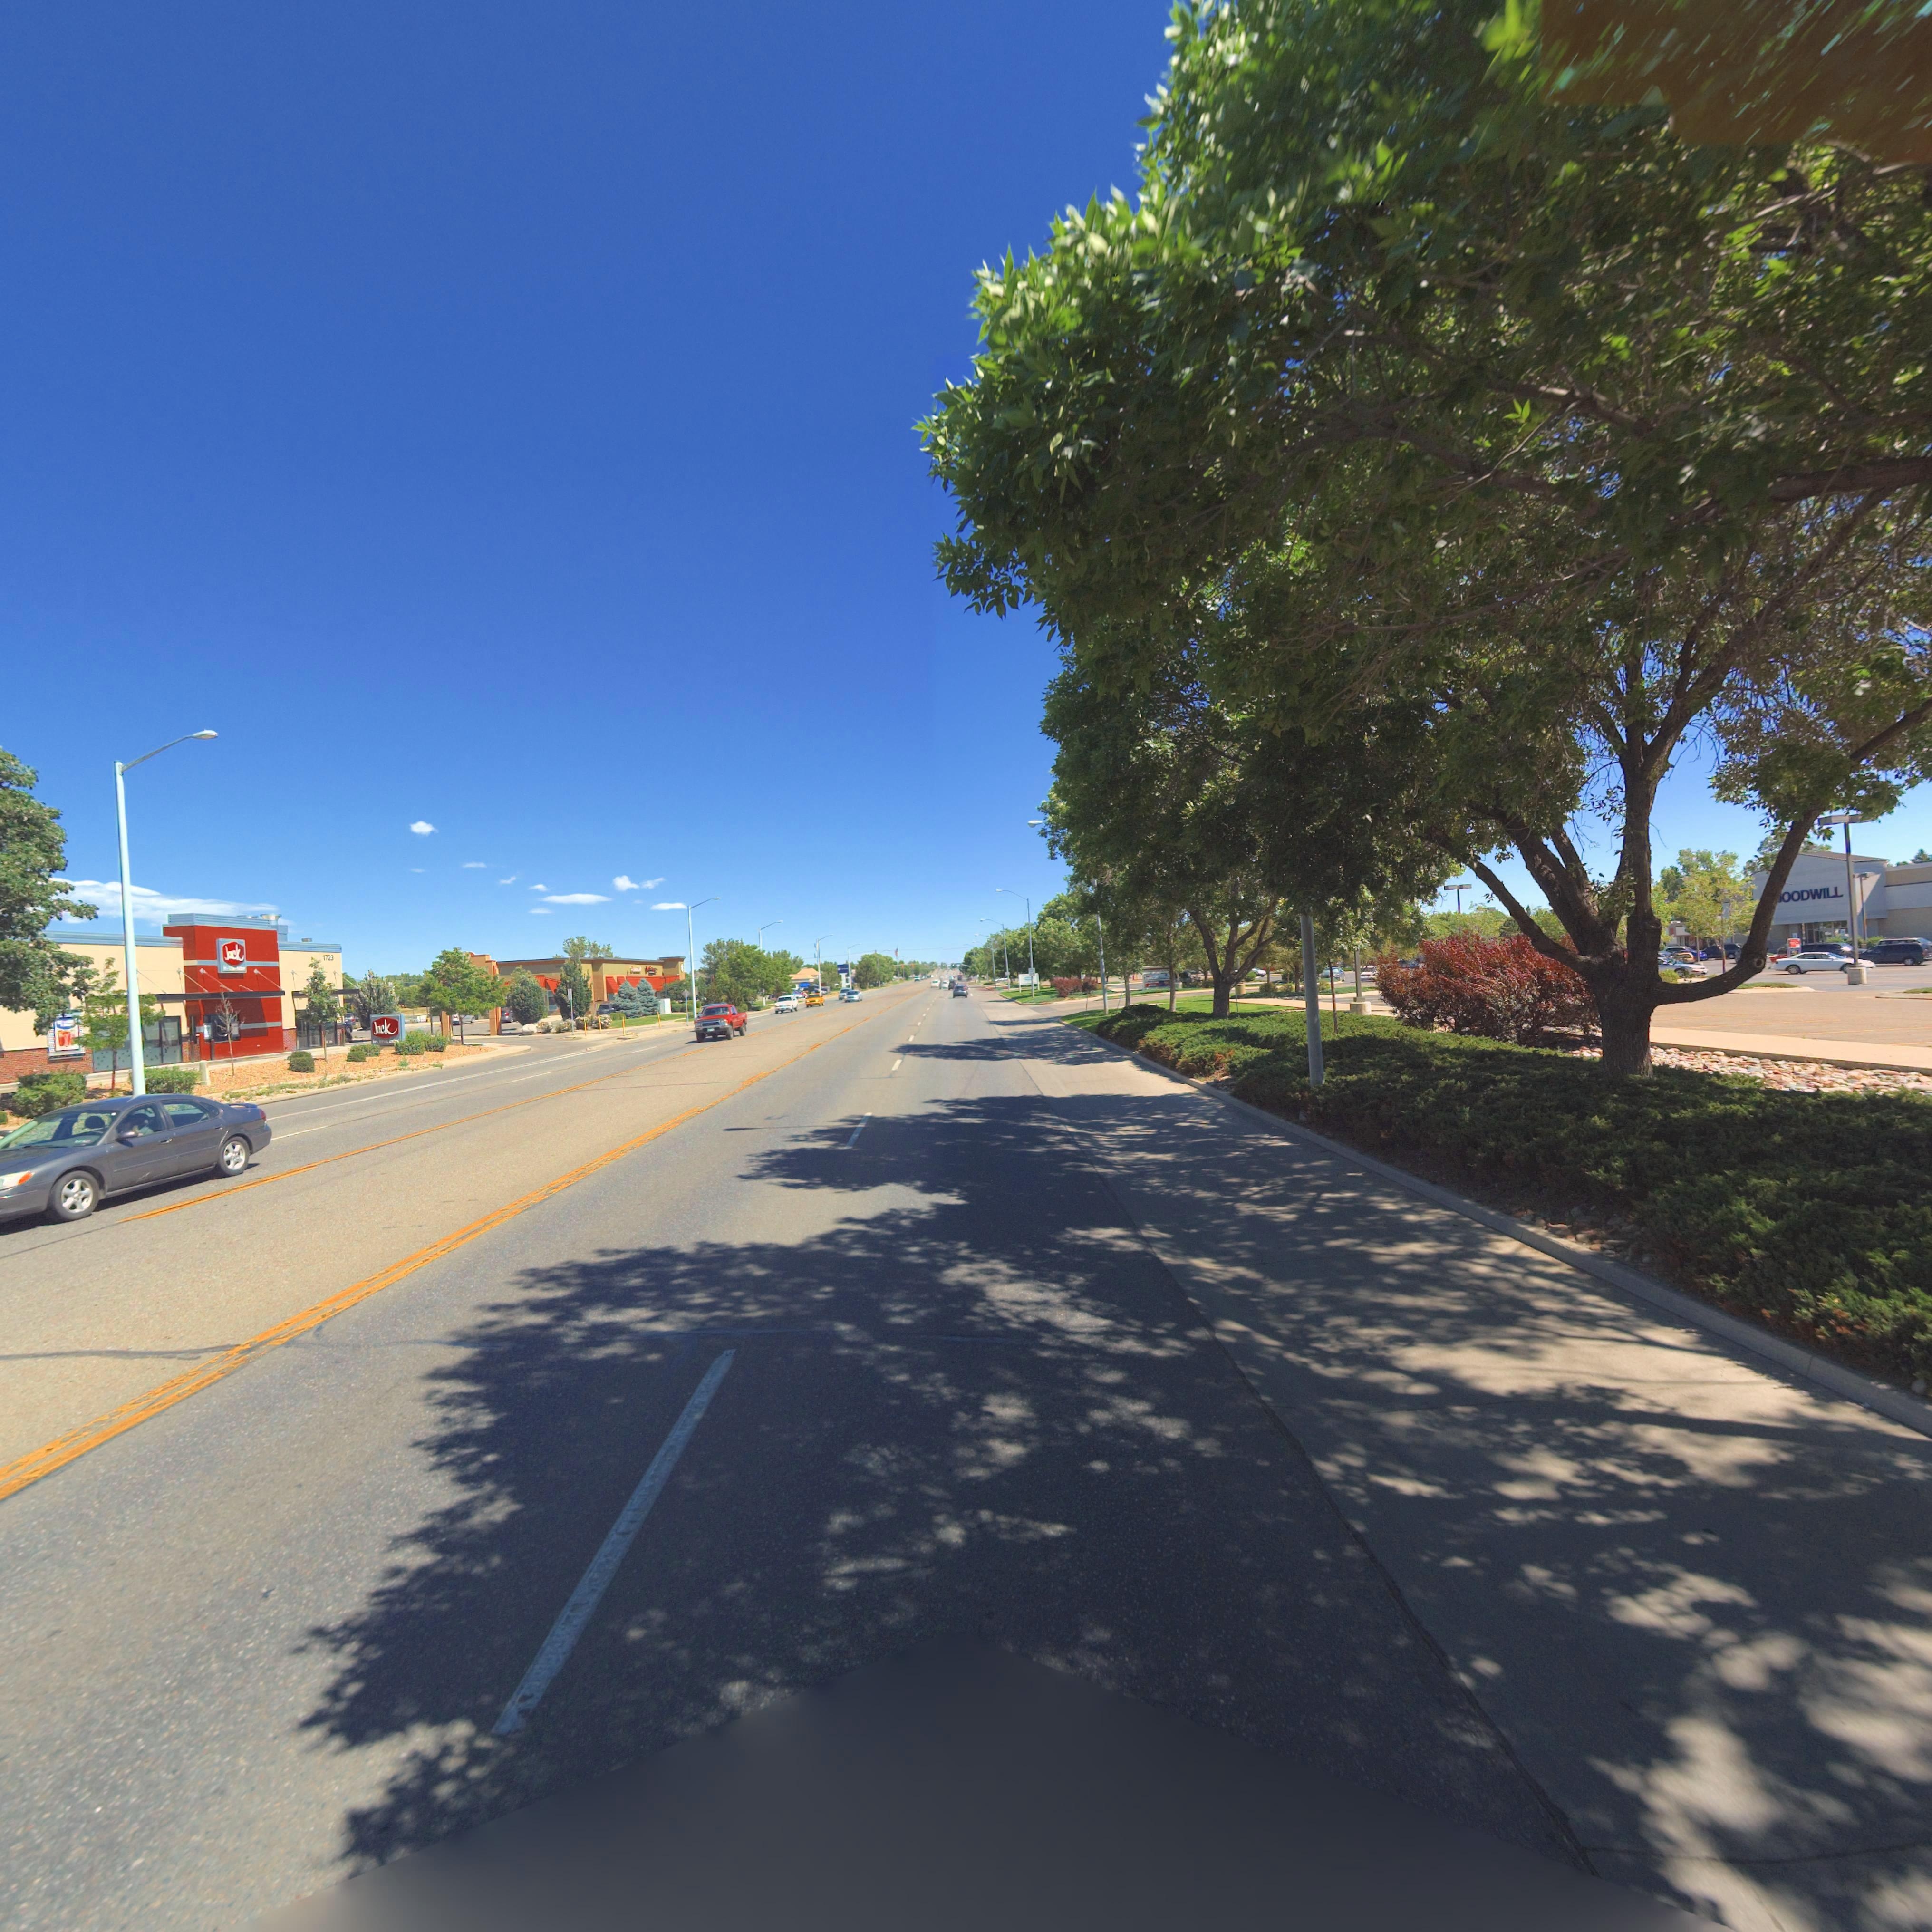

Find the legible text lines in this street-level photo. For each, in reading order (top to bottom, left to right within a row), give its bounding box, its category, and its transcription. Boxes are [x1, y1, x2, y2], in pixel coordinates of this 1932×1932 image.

[1781, 886, 1844, 902] BusinessName: OODWILL
[224, 944, 244, 962] BusinessName: Jack
[322, 954, 334, 961] StreetNumber: 1723
[373, 1018, 397, 1035] BusinessName: Jack
[372, 1039, 399, 1043] BusinessName: in **e *o*